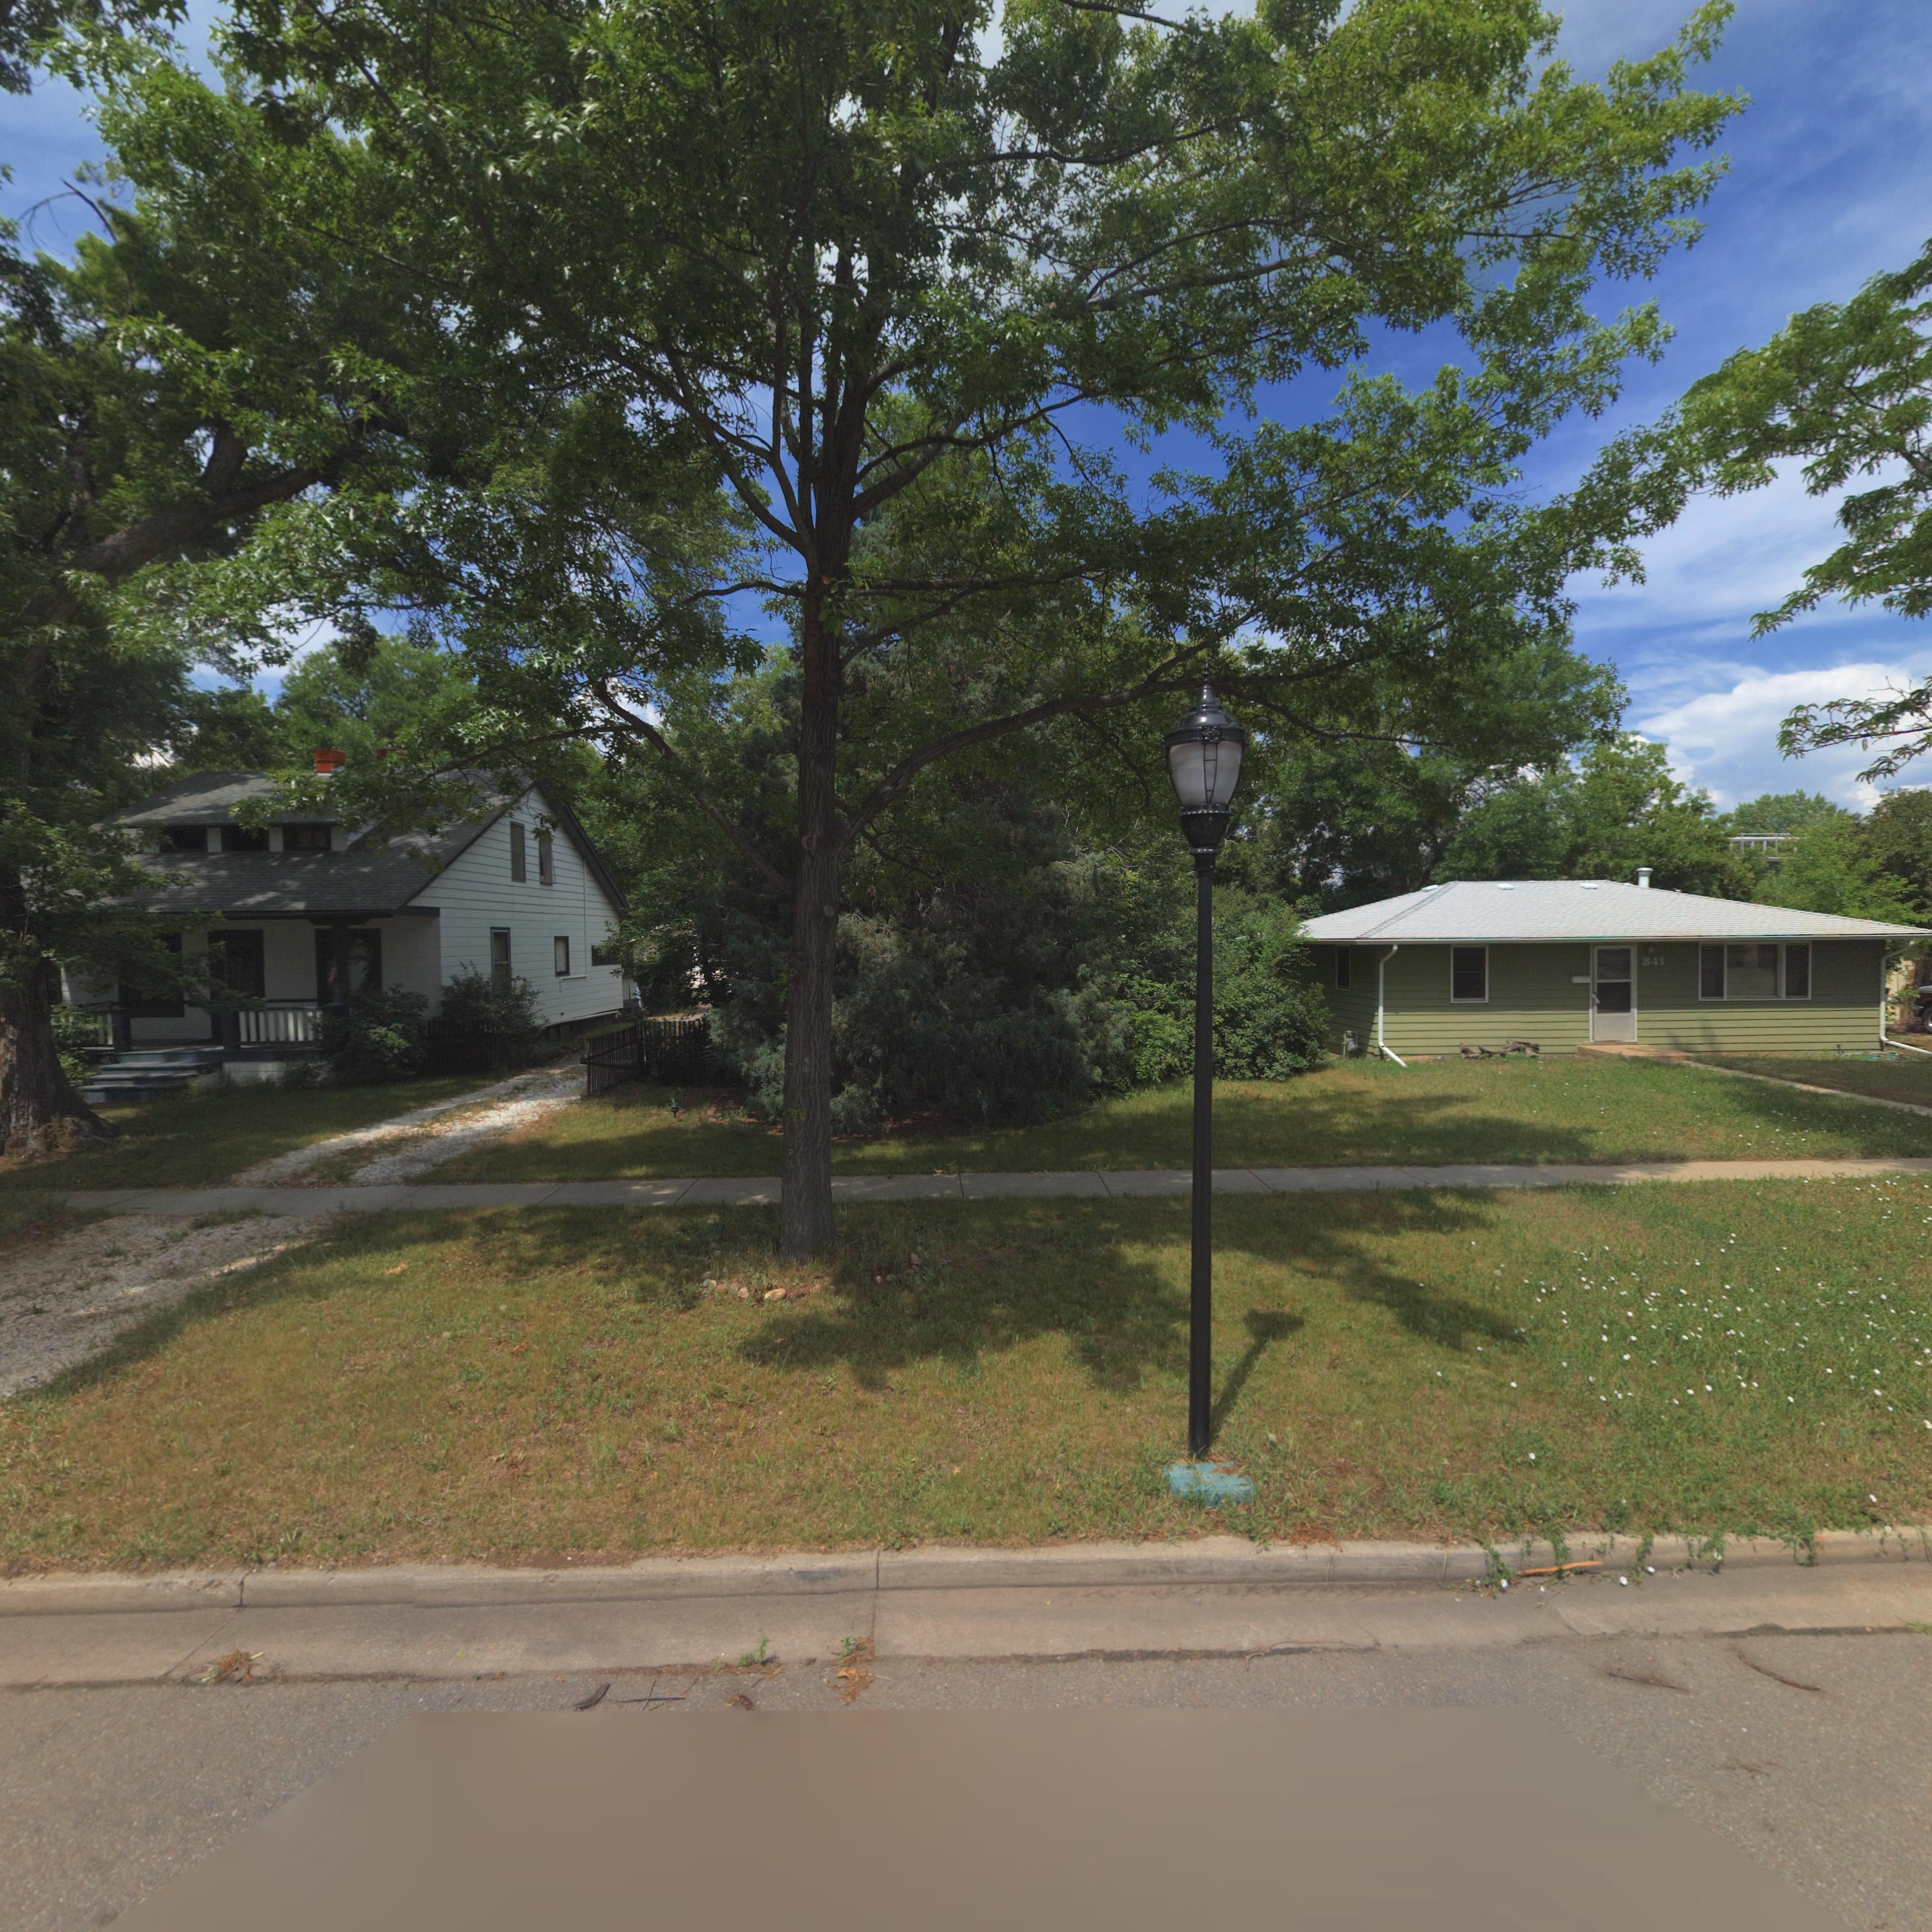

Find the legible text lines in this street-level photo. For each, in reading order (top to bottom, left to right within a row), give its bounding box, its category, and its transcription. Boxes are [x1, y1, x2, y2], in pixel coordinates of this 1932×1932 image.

[1642, 956, 1665, 966] StreetNumber: 841